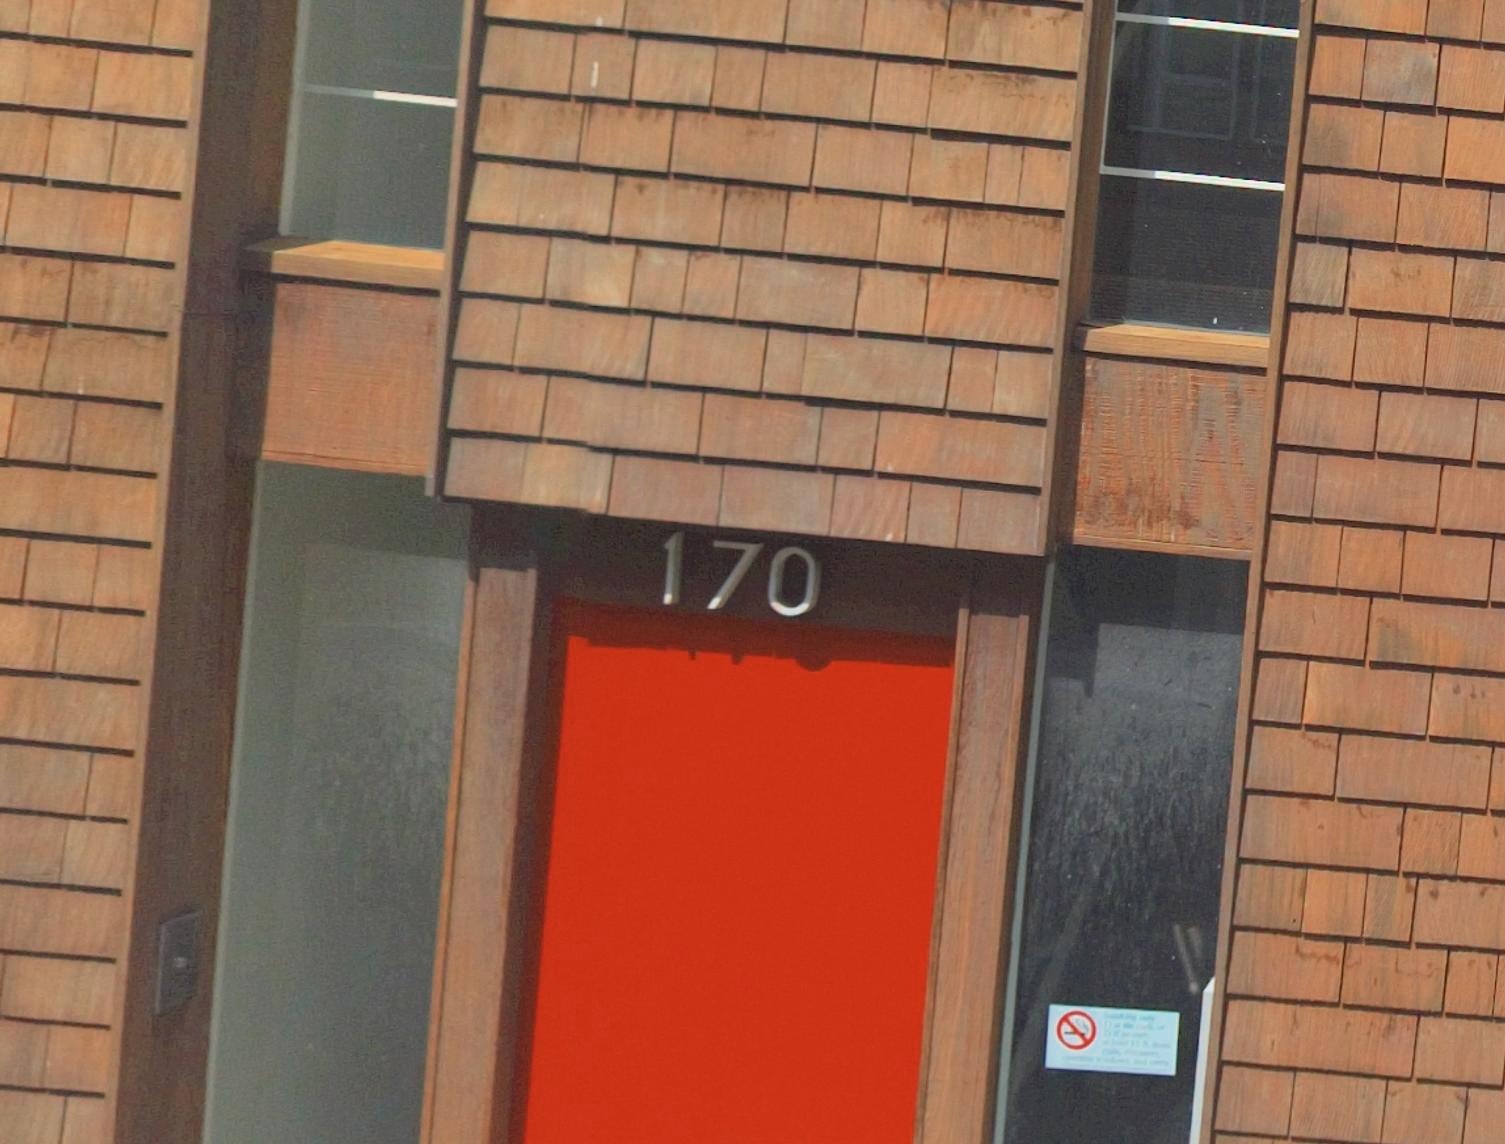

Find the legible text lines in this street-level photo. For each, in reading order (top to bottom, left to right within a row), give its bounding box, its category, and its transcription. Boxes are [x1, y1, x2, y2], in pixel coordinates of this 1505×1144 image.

[654, 524, 827, 622] StreetNumber: 170